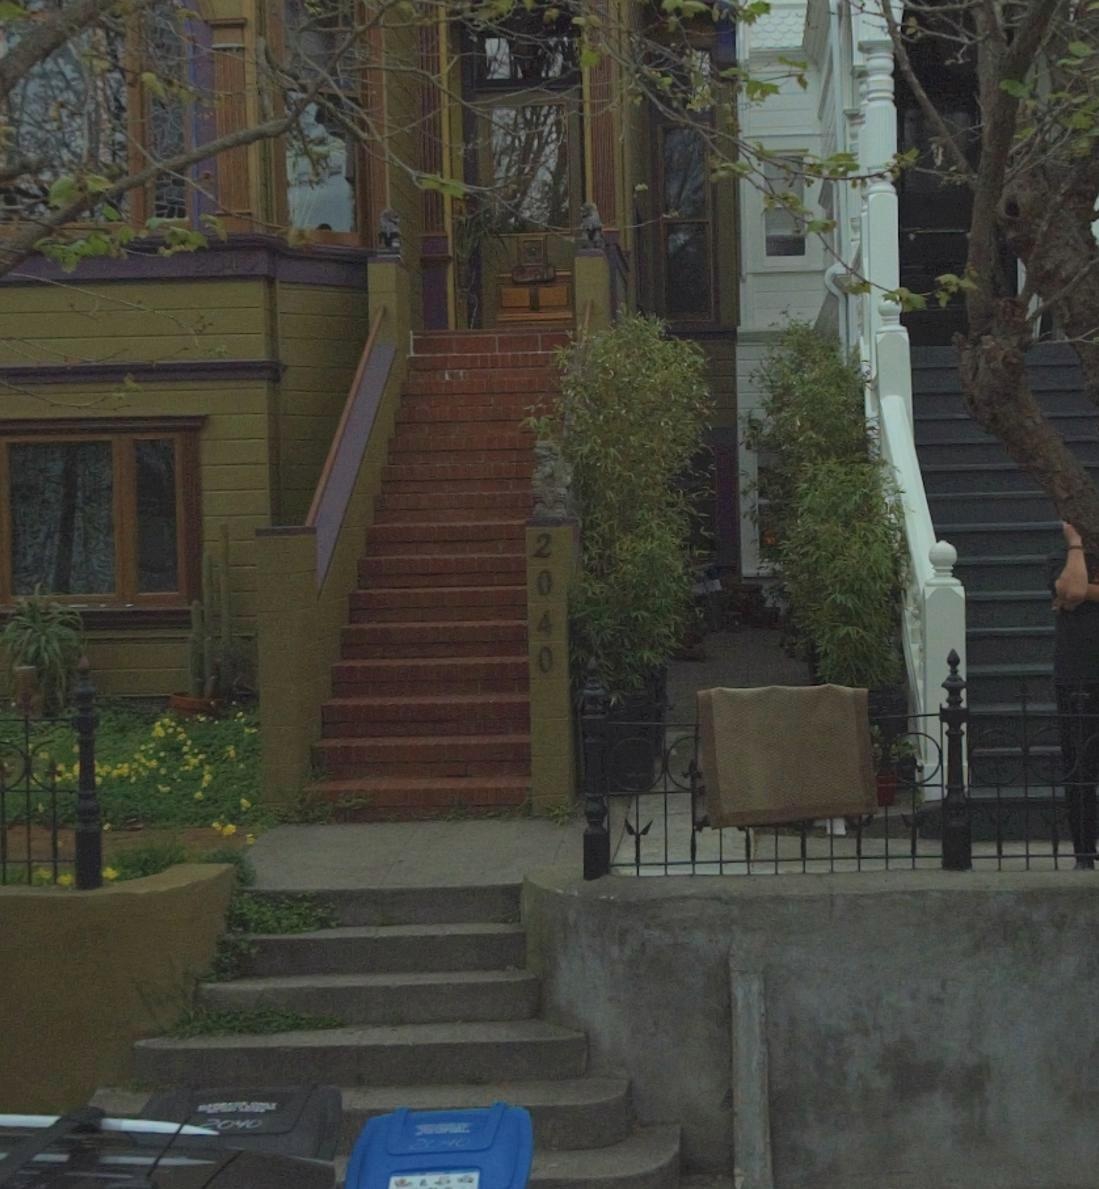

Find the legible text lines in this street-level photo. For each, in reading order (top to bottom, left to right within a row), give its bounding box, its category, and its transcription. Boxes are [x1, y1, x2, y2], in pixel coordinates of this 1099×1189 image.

[533, 531, 556, 674] StreetNumber: 2040